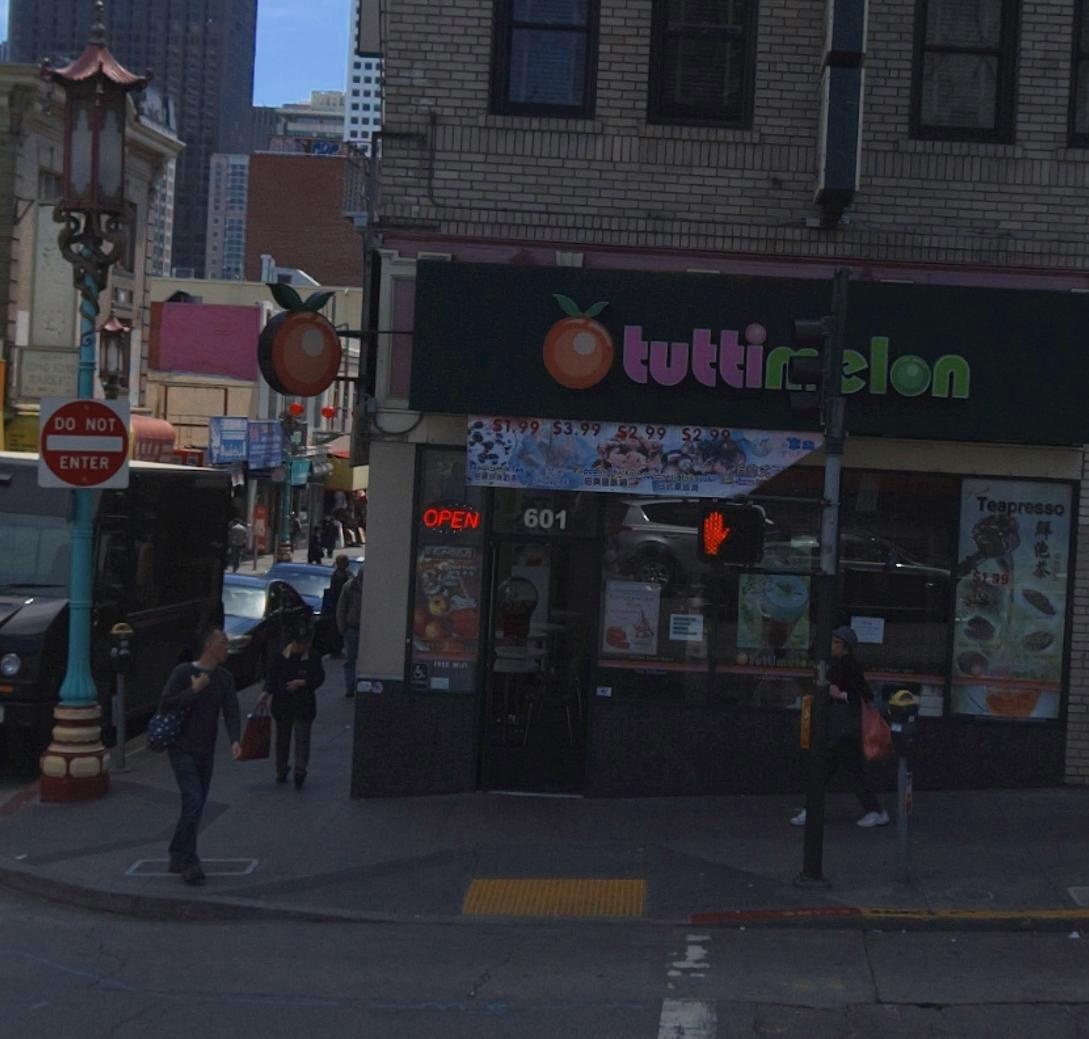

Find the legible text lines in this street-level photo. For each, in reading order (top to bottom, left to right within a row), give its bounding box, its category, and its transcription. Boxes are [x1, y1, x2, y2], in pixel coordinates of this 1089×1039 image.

[619, 312, 974, 403] BusinessName: tutti**lon
[54, 416, 118, 433] None: DO NOT
[491, 417, 732, 444] None: $1.99 $3.99 $2.99 $2.99
[60, 455, 110, 470] None: ENTER
[976, 496, 1065, 517] None: Teapresso
[422, 508, 481, 530] None: OPEN
[523, 507, 566, 530] StreetNumber: 601
[973, 571, 1010, 585] None: $1.99